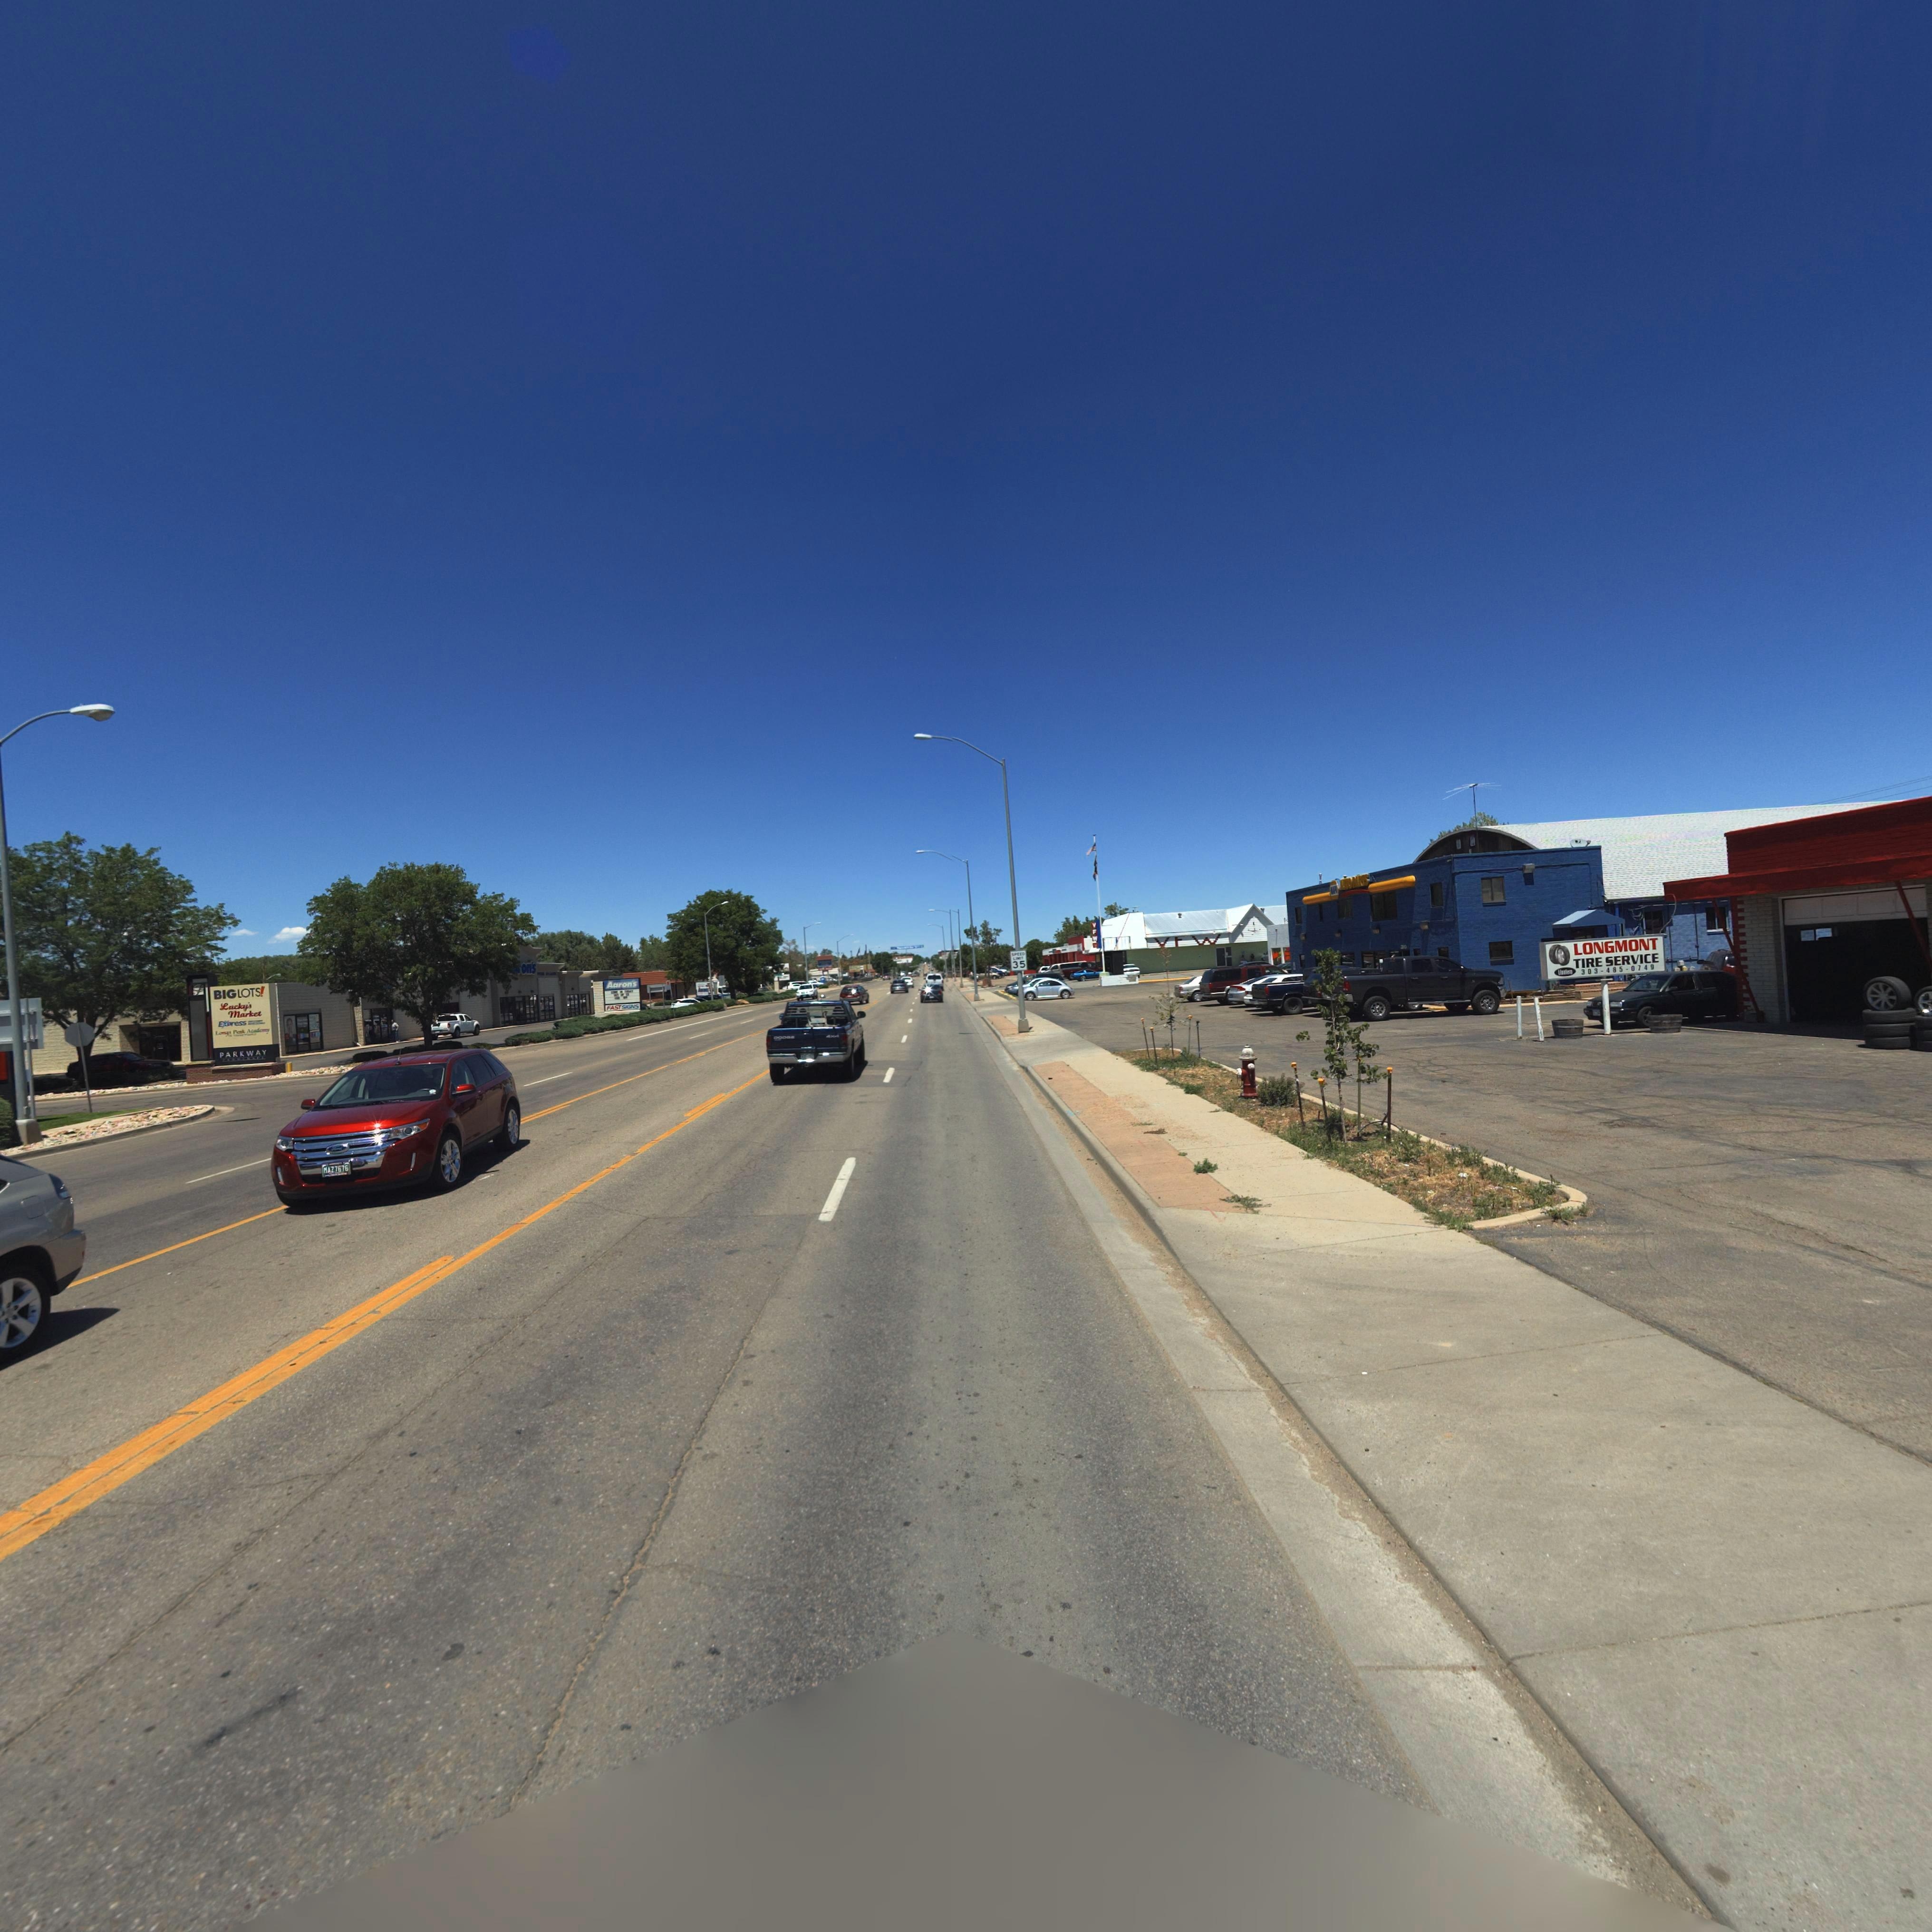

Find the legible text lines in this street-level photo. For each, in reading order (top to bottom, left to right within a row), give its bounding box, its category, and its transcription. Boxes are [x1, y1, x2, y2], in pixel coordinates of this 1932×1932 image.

[1339, 873, 1369, 890] BusinessName: **TO PARTS
[1330, 885, 1337, 895] BusinessName: *AP*
[1092, 922, 1097, 940] BusinessName: VFW
[1153, 934, 1221, 947] BusinessName: VFW
[1400, 944, 1407, 949] StreetNumber: 210
[1573, 937, 1658, 956] BusinessName: LONGMONT
[1573, 953, 1659, 968] BusinessName: TIRE SERVICE
[515, 961, 536, 975] BusinessName: *on's
[606, 980, 637, 988] BusinessName: Aaron*s
[213, 986, 265, 1000] BusinessName: BIGLOTS*
[219, 1002, 252, 1012] BusinessName: Lucky's
[606, 1004, 639, 1010] BusinessName: FAST S*GNS
[228, 1010, 262, 1018] BusinessName: Market
[217, 1020, 247, 1027] BusinessName: Express
[215, 1027, 270, 1037] BusinessName: Lo*** P**k Ac*d**y